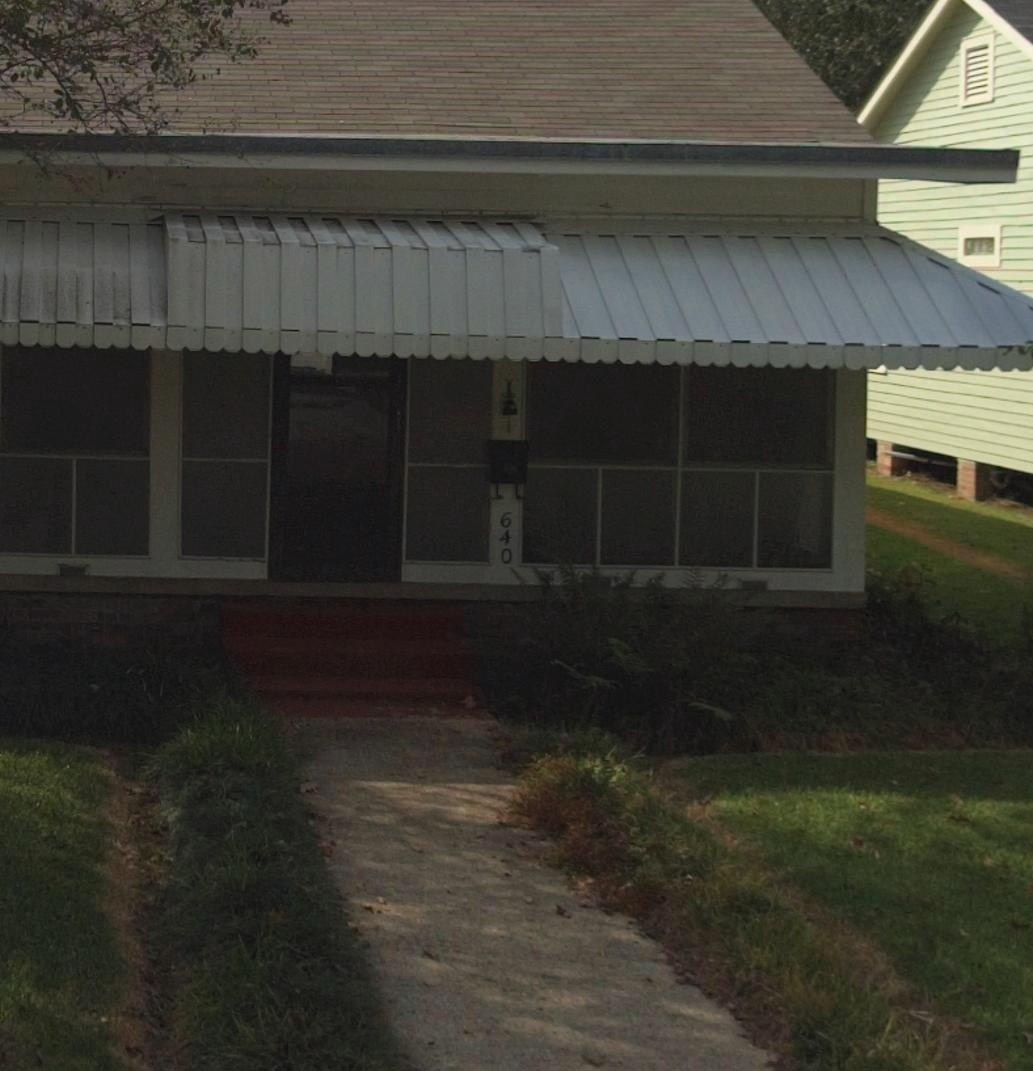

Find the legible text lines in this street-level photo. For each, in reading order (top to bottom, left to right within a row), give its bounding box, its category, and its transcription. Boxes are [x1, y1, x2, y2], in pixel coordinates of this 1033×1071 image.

[496, 508, 516, 566] StreetNumber: 640